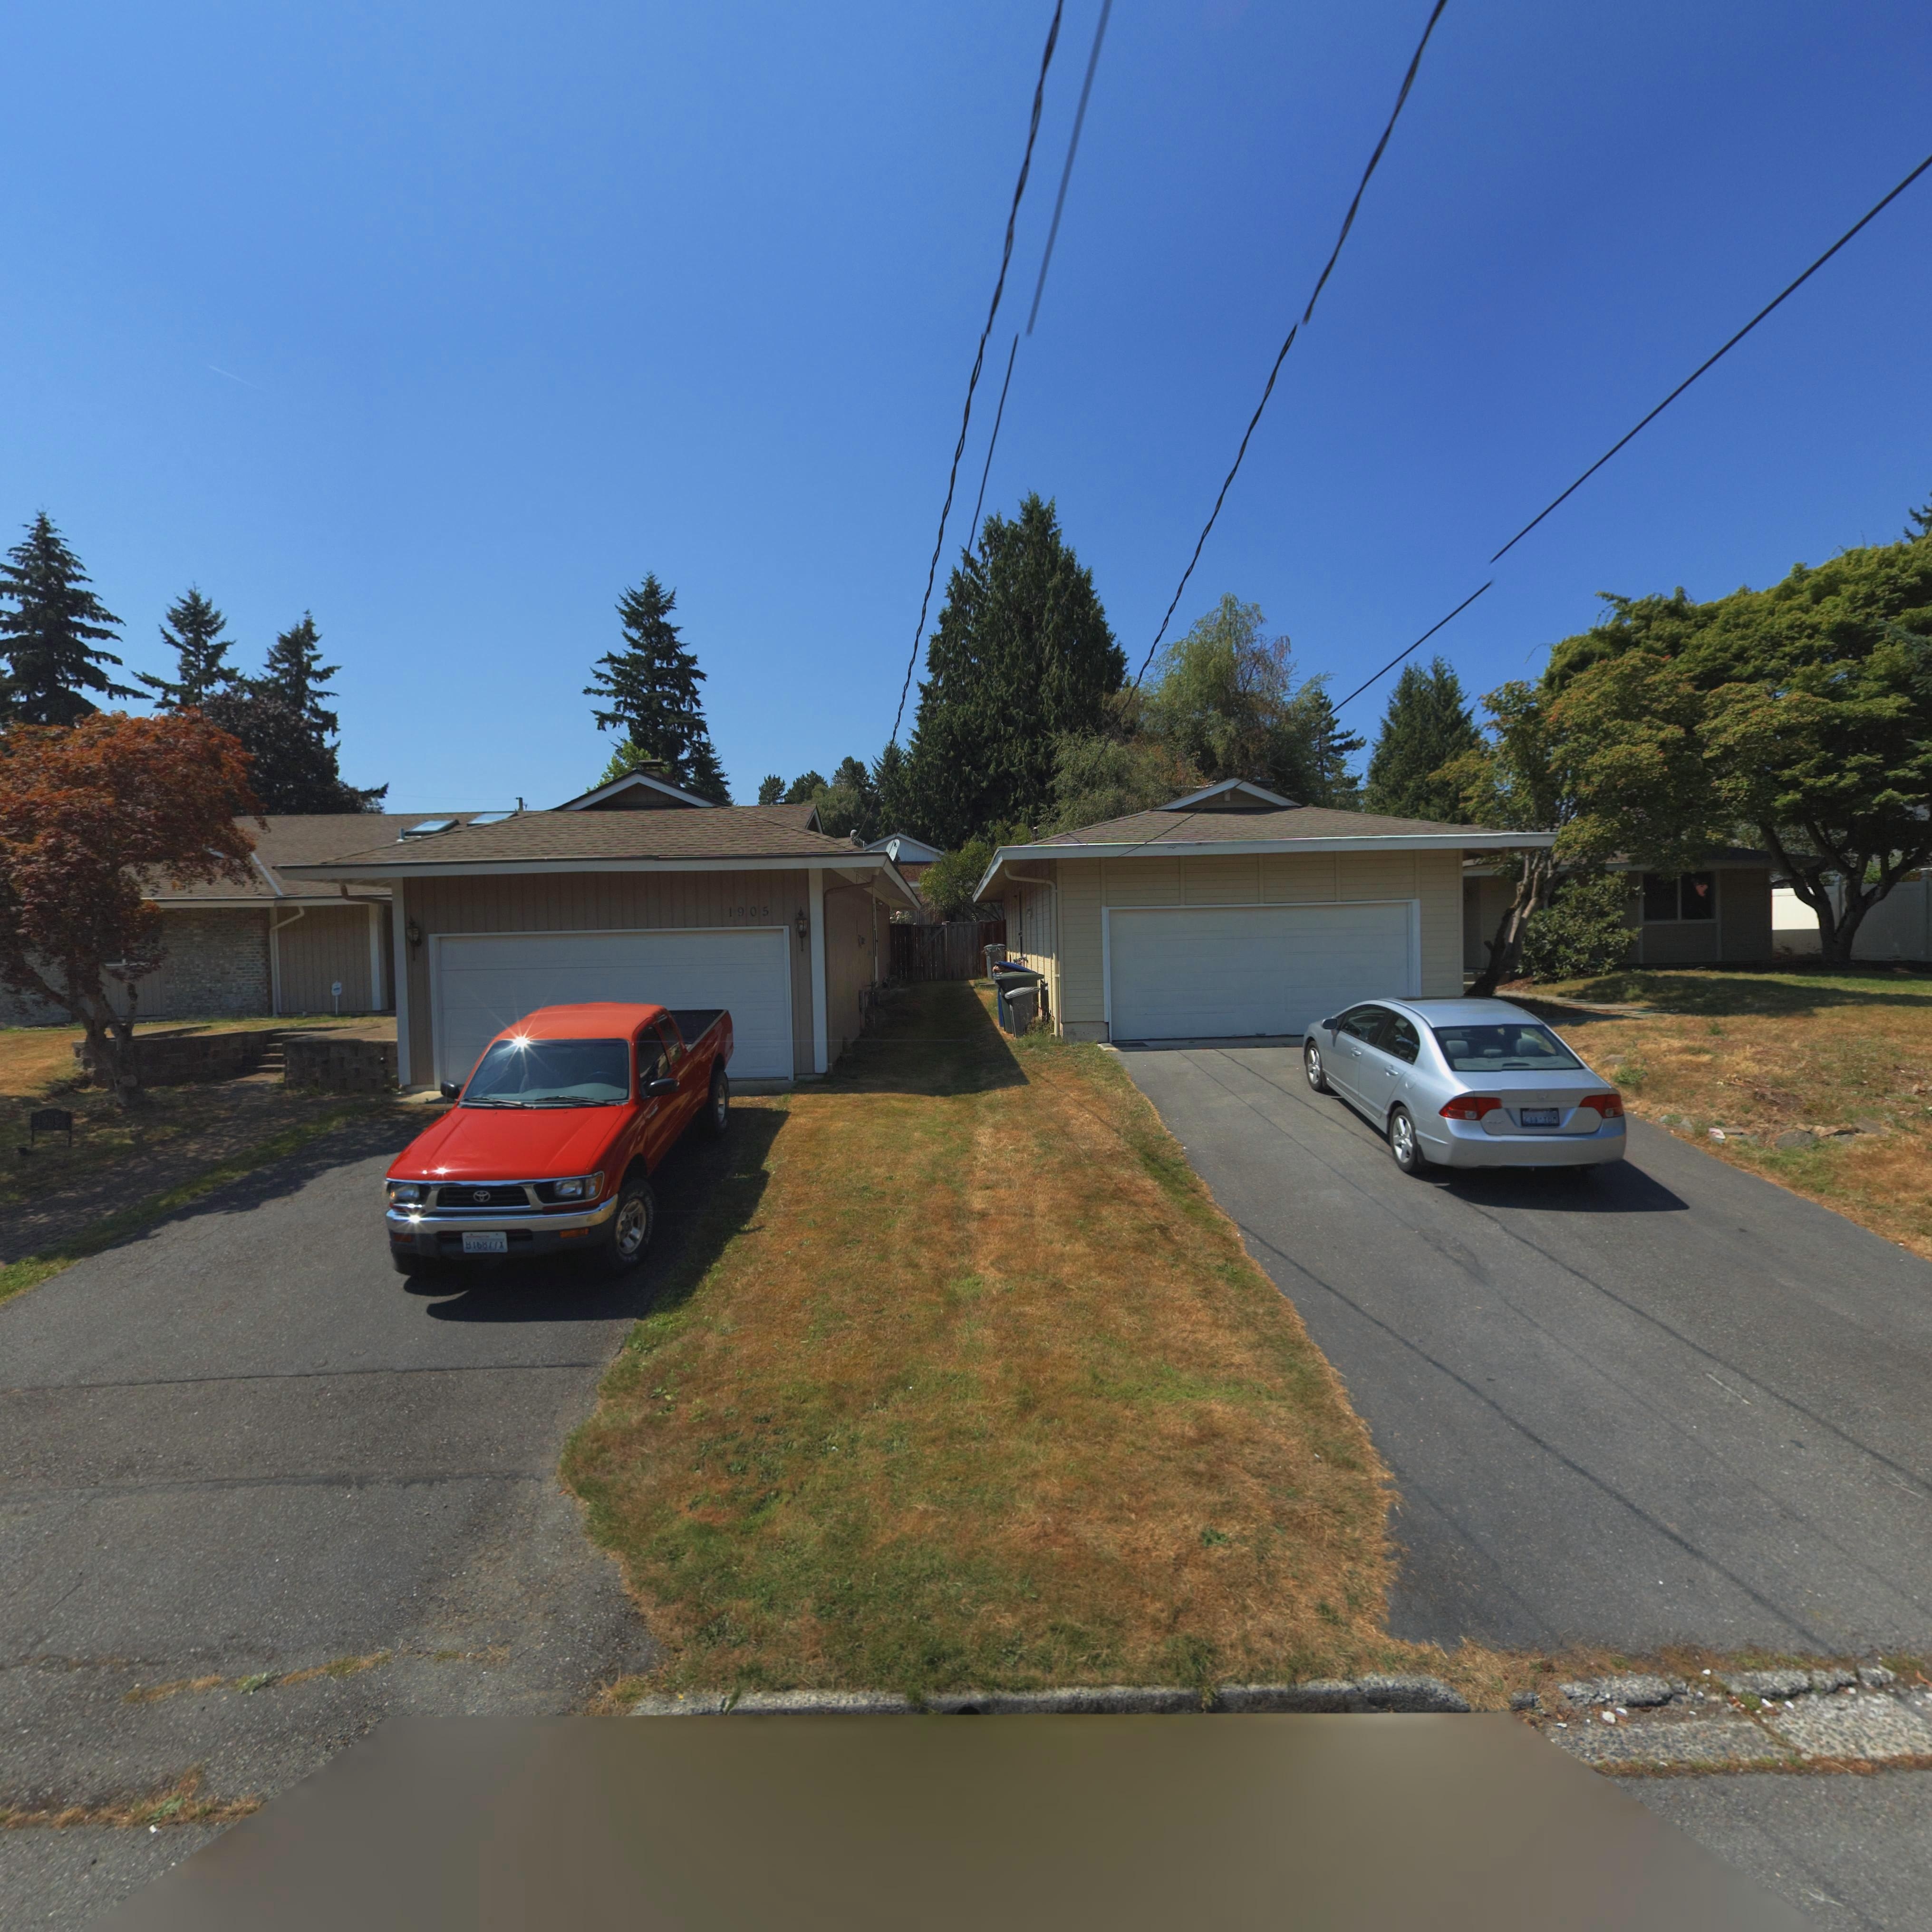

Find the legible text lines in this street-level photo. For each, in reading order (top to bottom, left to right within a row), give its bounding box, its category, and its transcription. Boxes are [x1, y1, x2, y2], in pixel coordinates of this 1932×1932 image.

[727, 905, 768, 917] StreetNumber: 1905